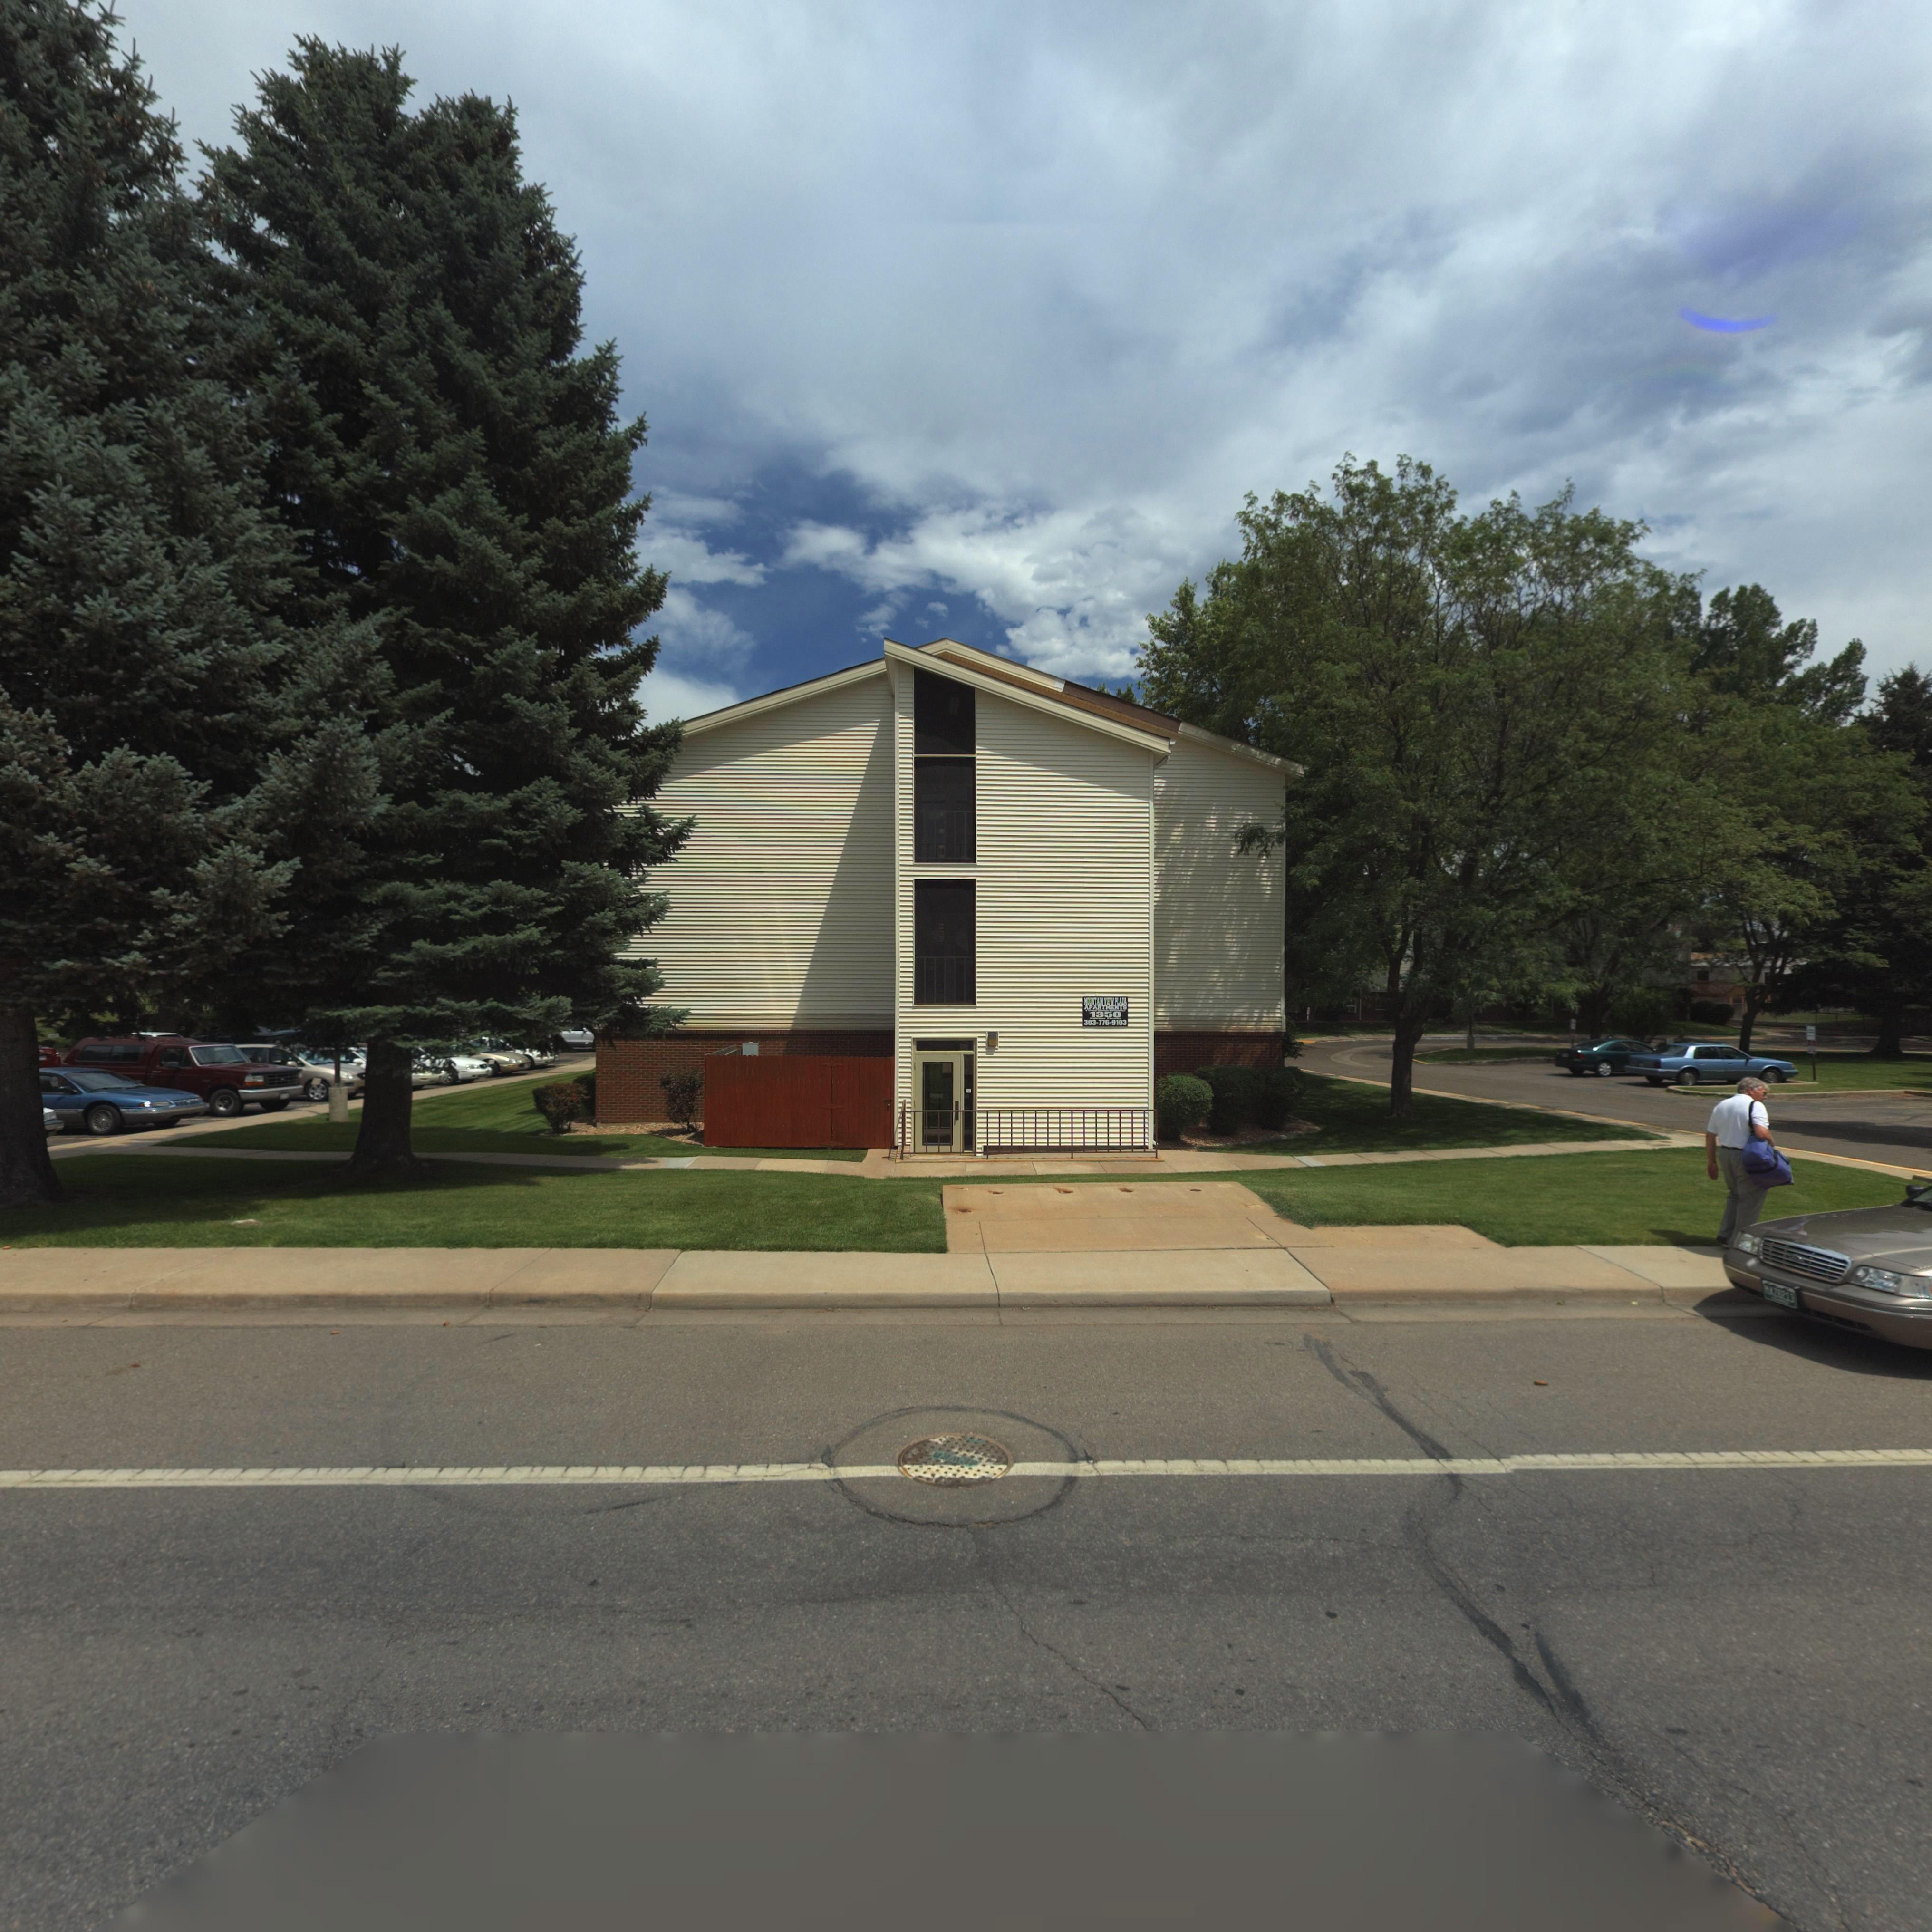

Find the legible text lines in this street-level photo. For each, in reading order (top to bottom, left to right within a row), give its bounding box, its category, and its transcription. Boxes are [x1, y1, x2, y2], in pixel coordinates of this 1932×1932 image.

[1083, 997, 1127, 1005] BusinessName: MOUNTAIN VIEW PLAZA
[1083, 1005, 1127, 1010] BusinessName: APARTMENTS
[1089, 1011, 1121, 1017] StreetNumber: 1350